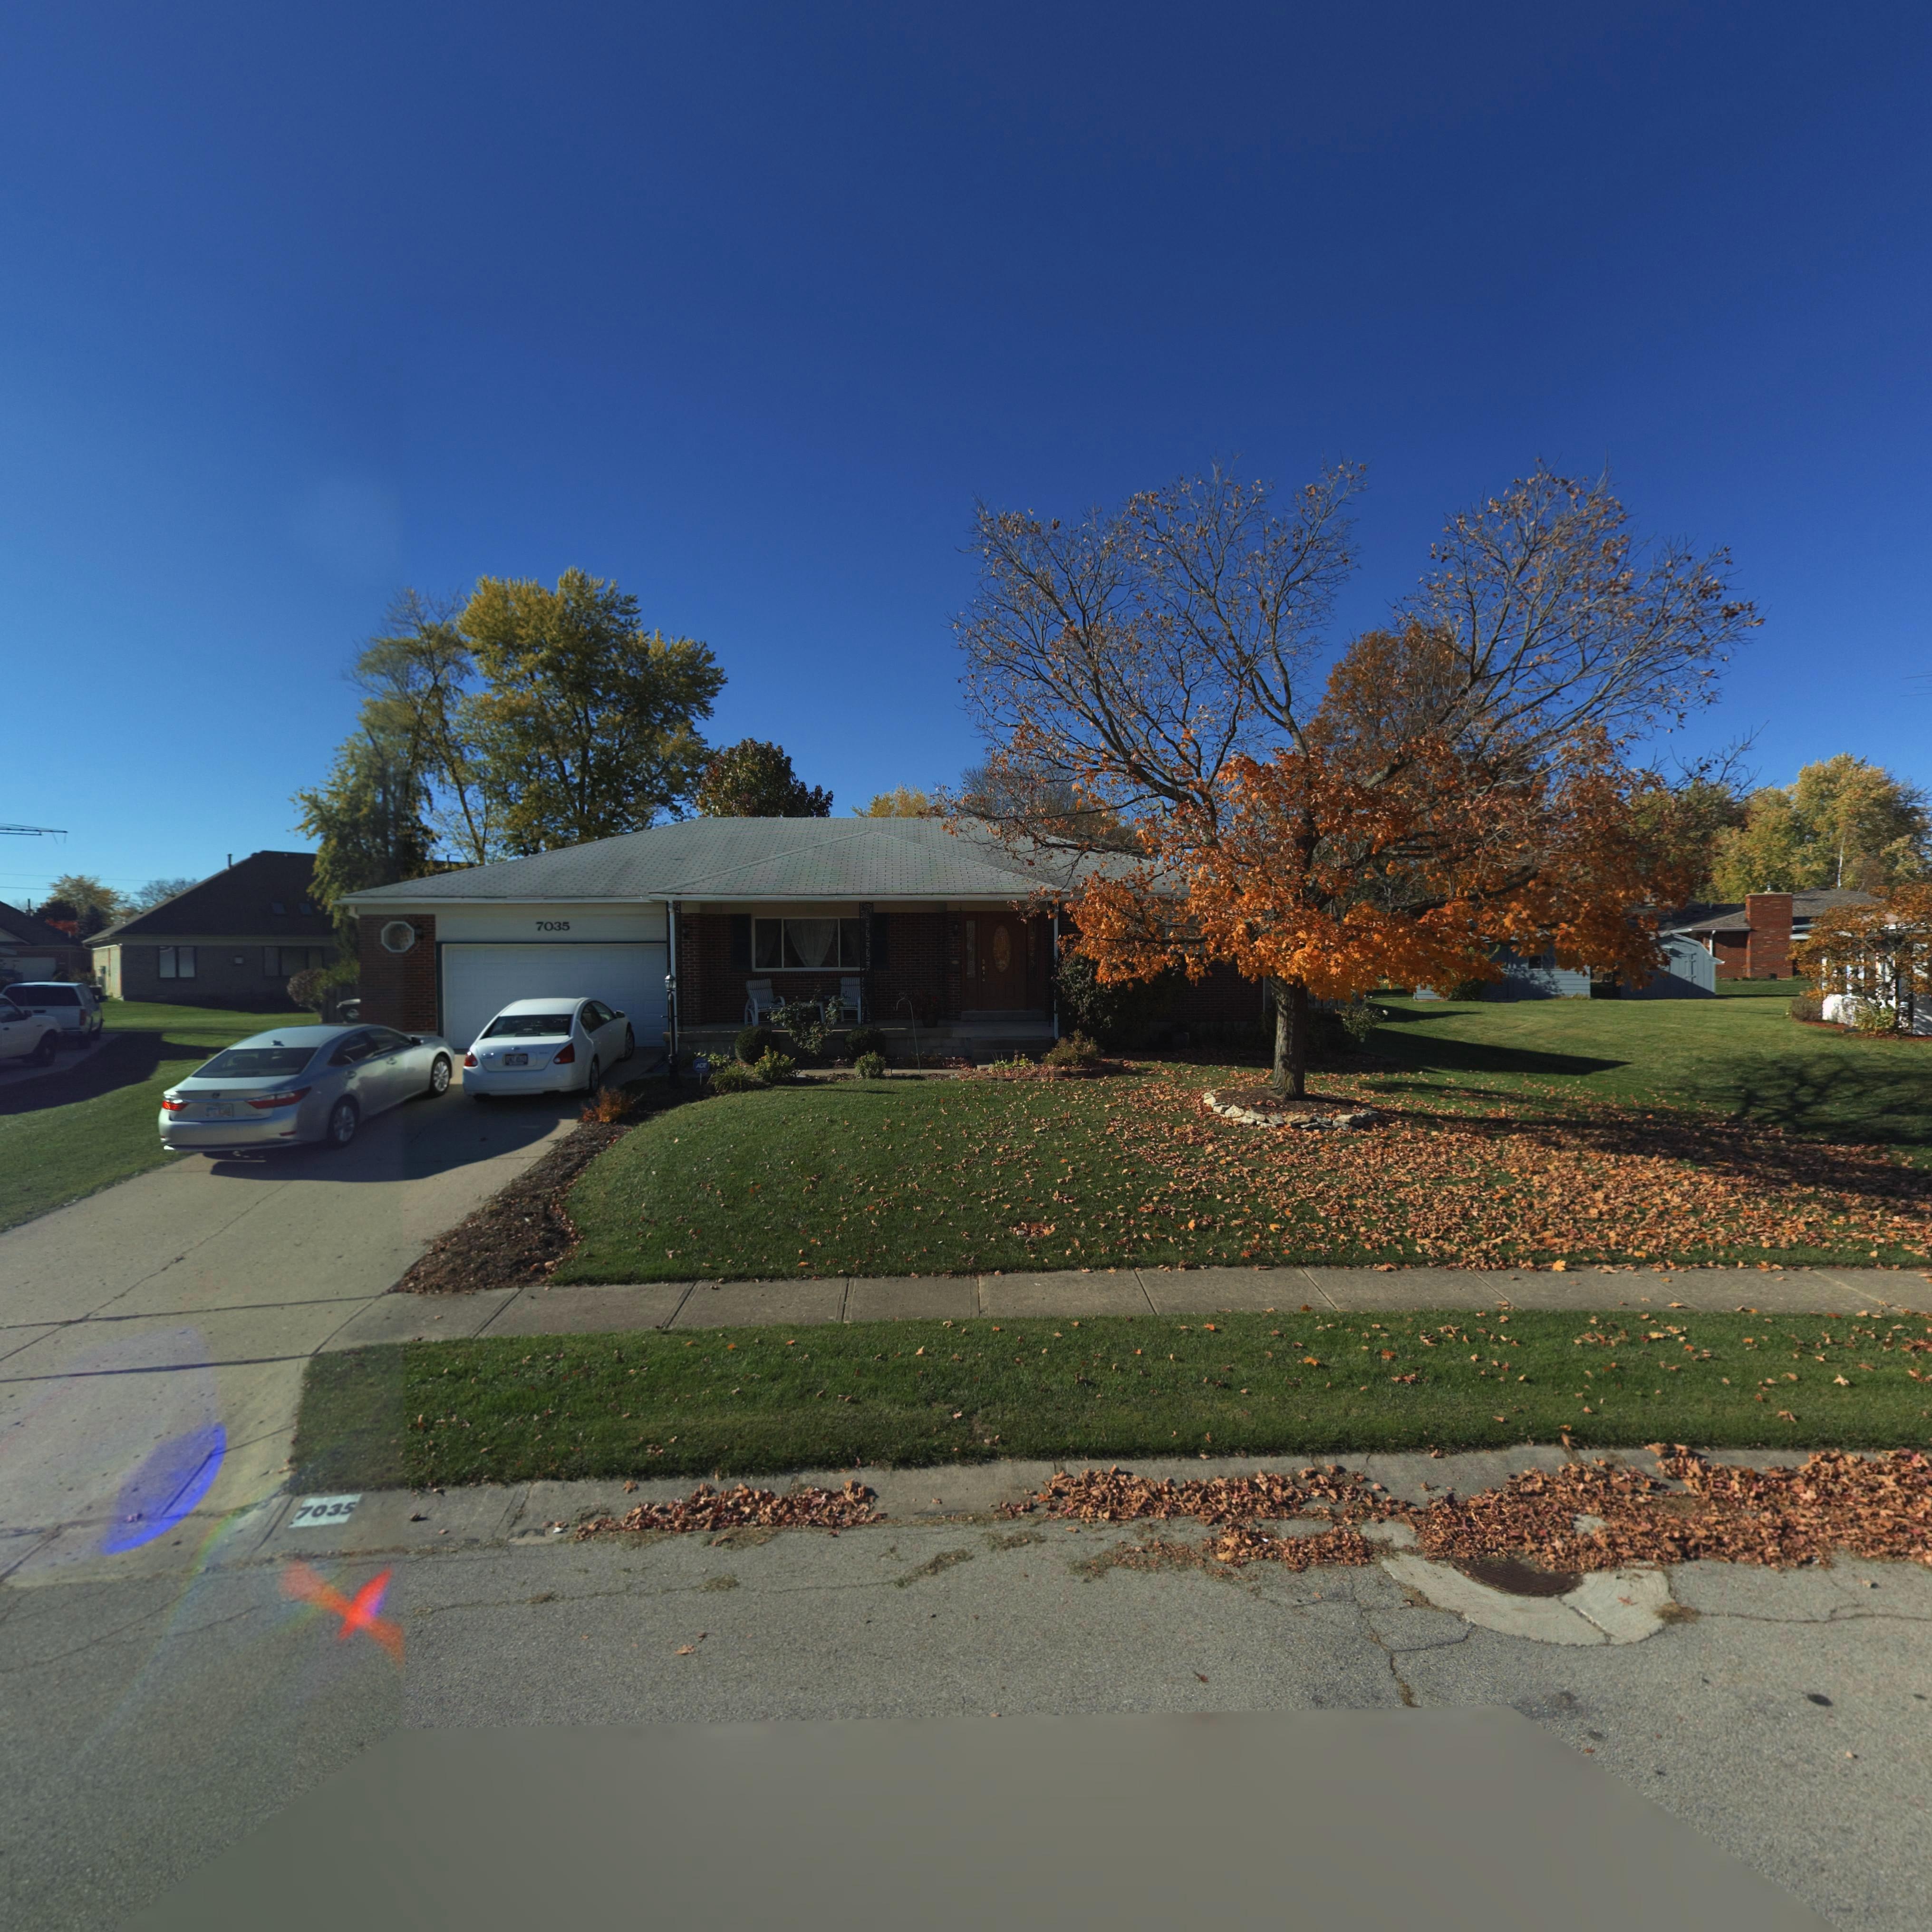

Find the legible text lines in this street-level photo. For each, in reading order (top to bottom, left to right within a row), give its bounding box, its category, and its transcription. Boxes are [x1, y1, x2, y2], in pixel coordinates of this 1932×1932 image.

[535, 921, 571, 931] StreetNumber: 7035
[293, 1501, 358, 1521] StreetNumber: 7035